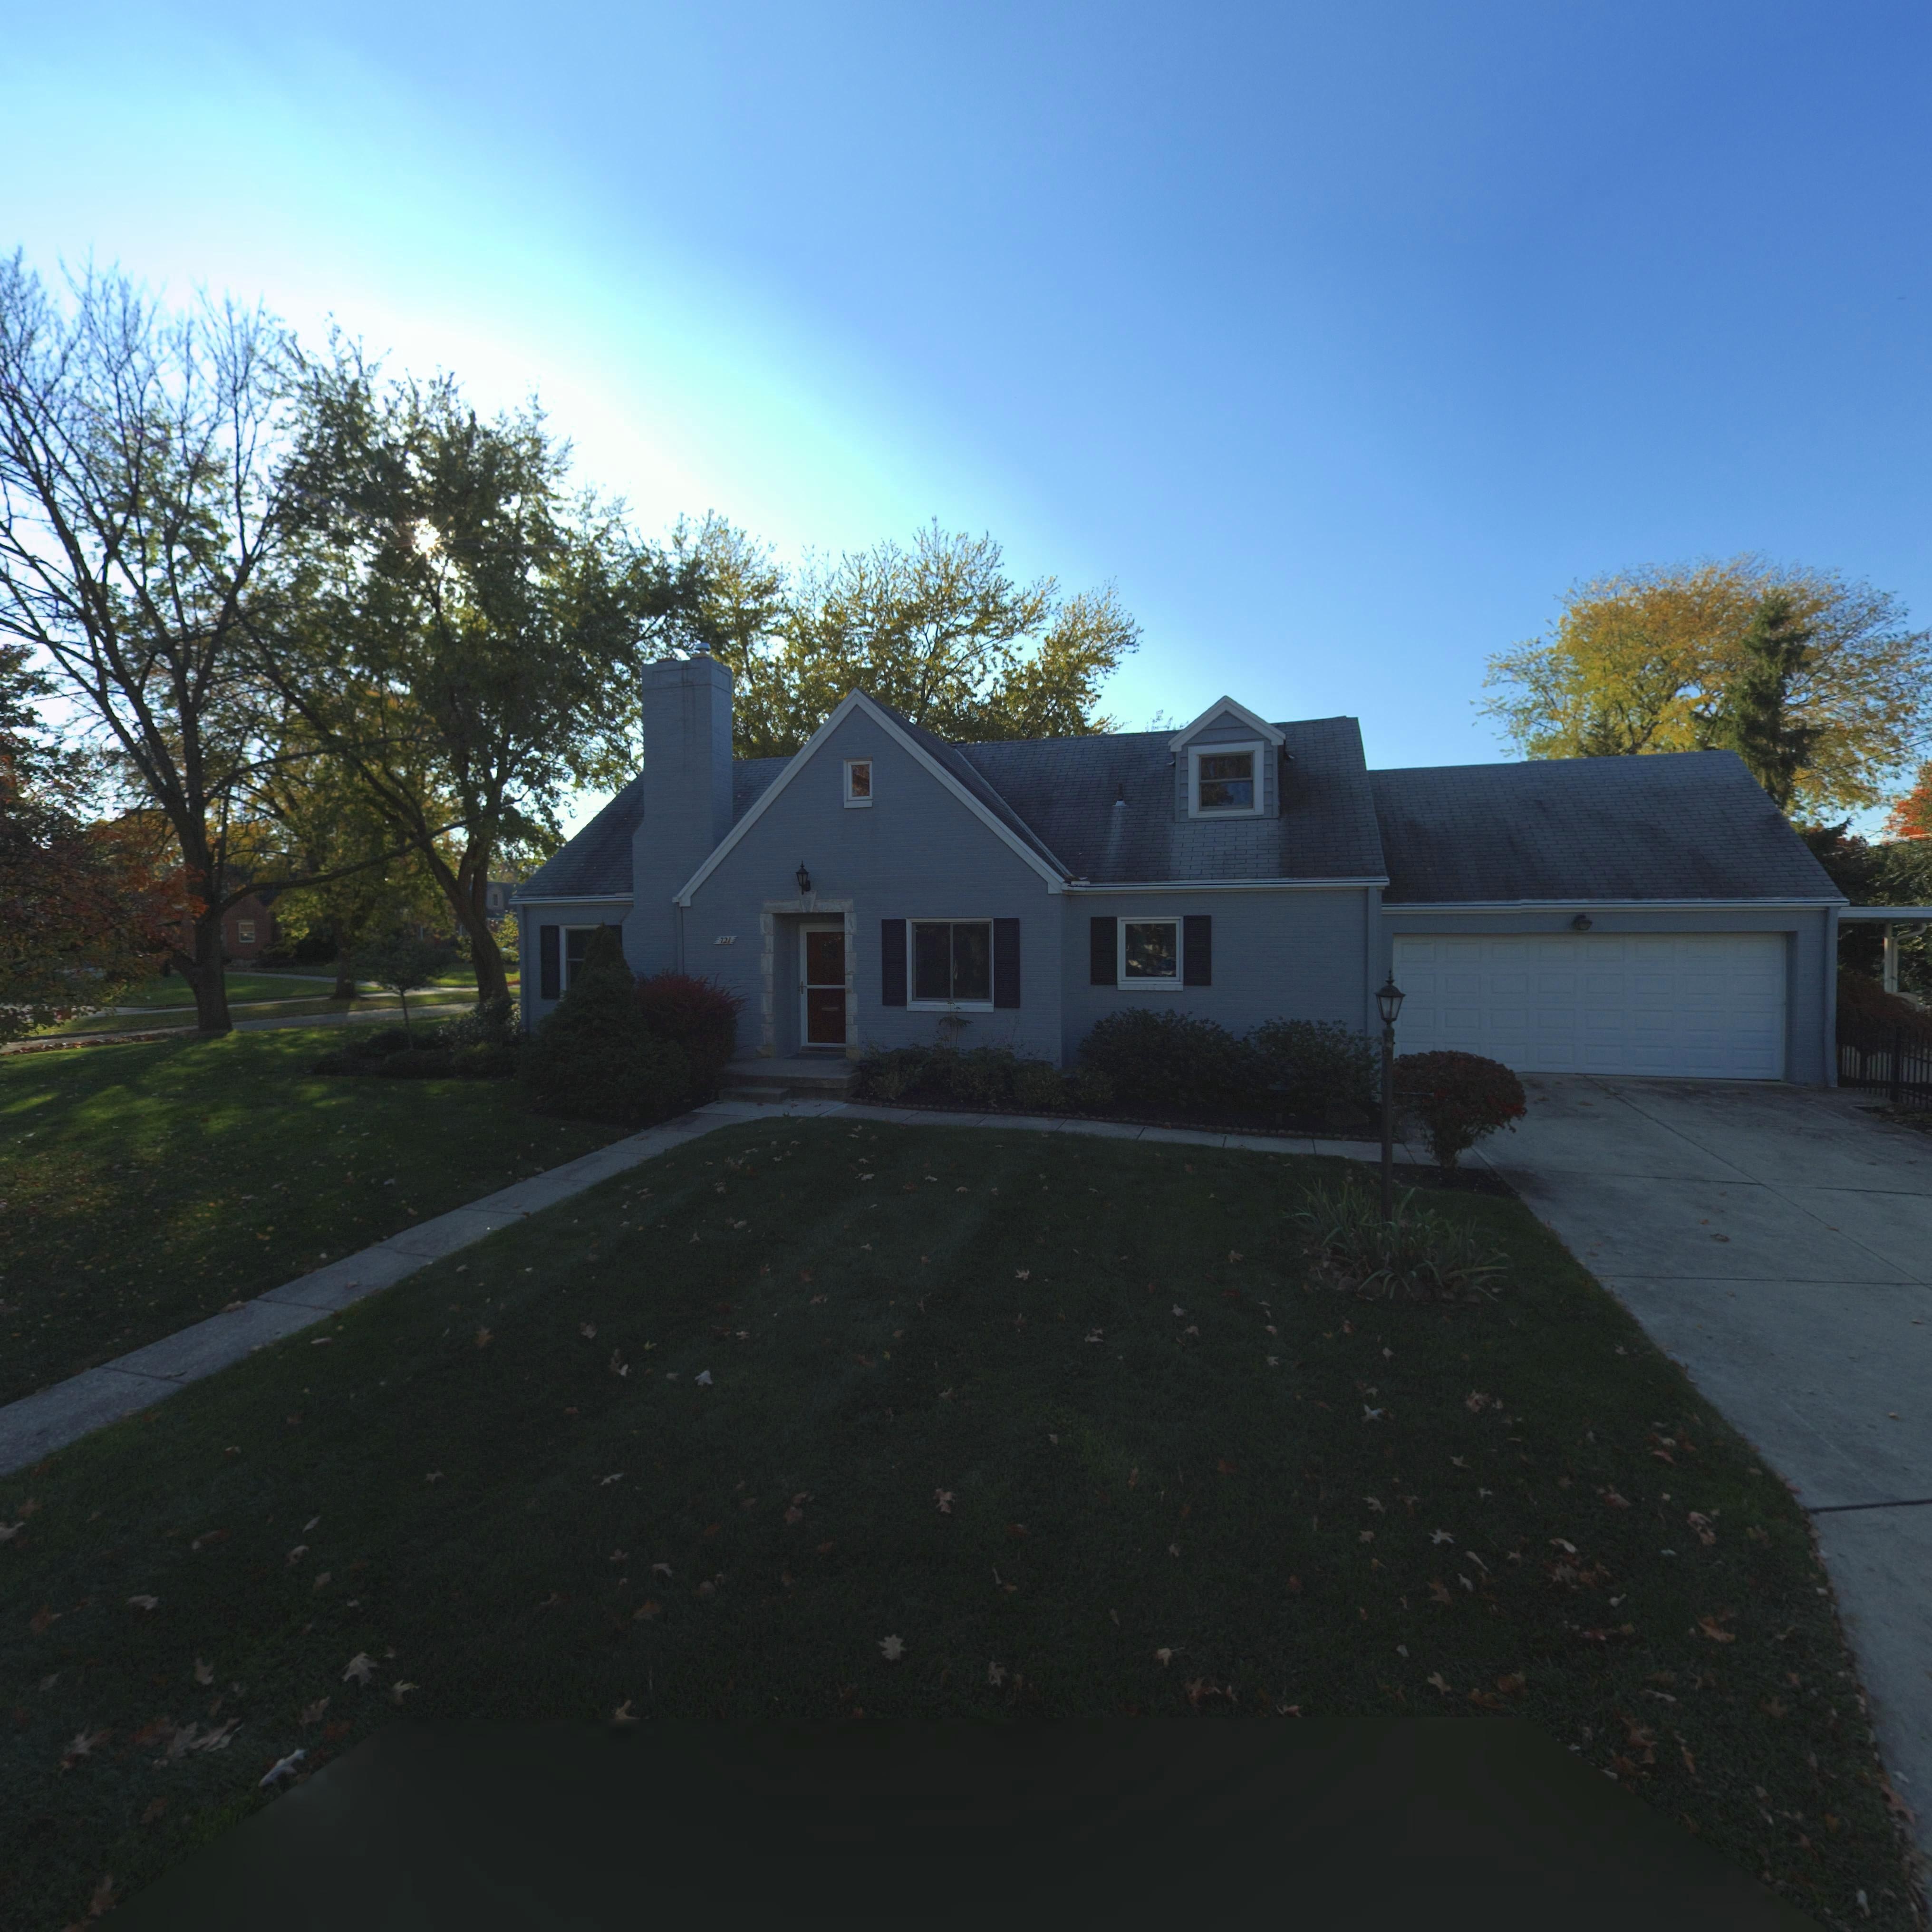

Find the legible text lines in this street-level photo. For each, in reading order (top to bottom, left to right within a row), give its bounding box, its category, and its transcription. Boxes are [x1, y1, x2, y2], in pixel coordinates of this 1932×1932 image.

[719, 937, 732, 944] StreetNumber: 721